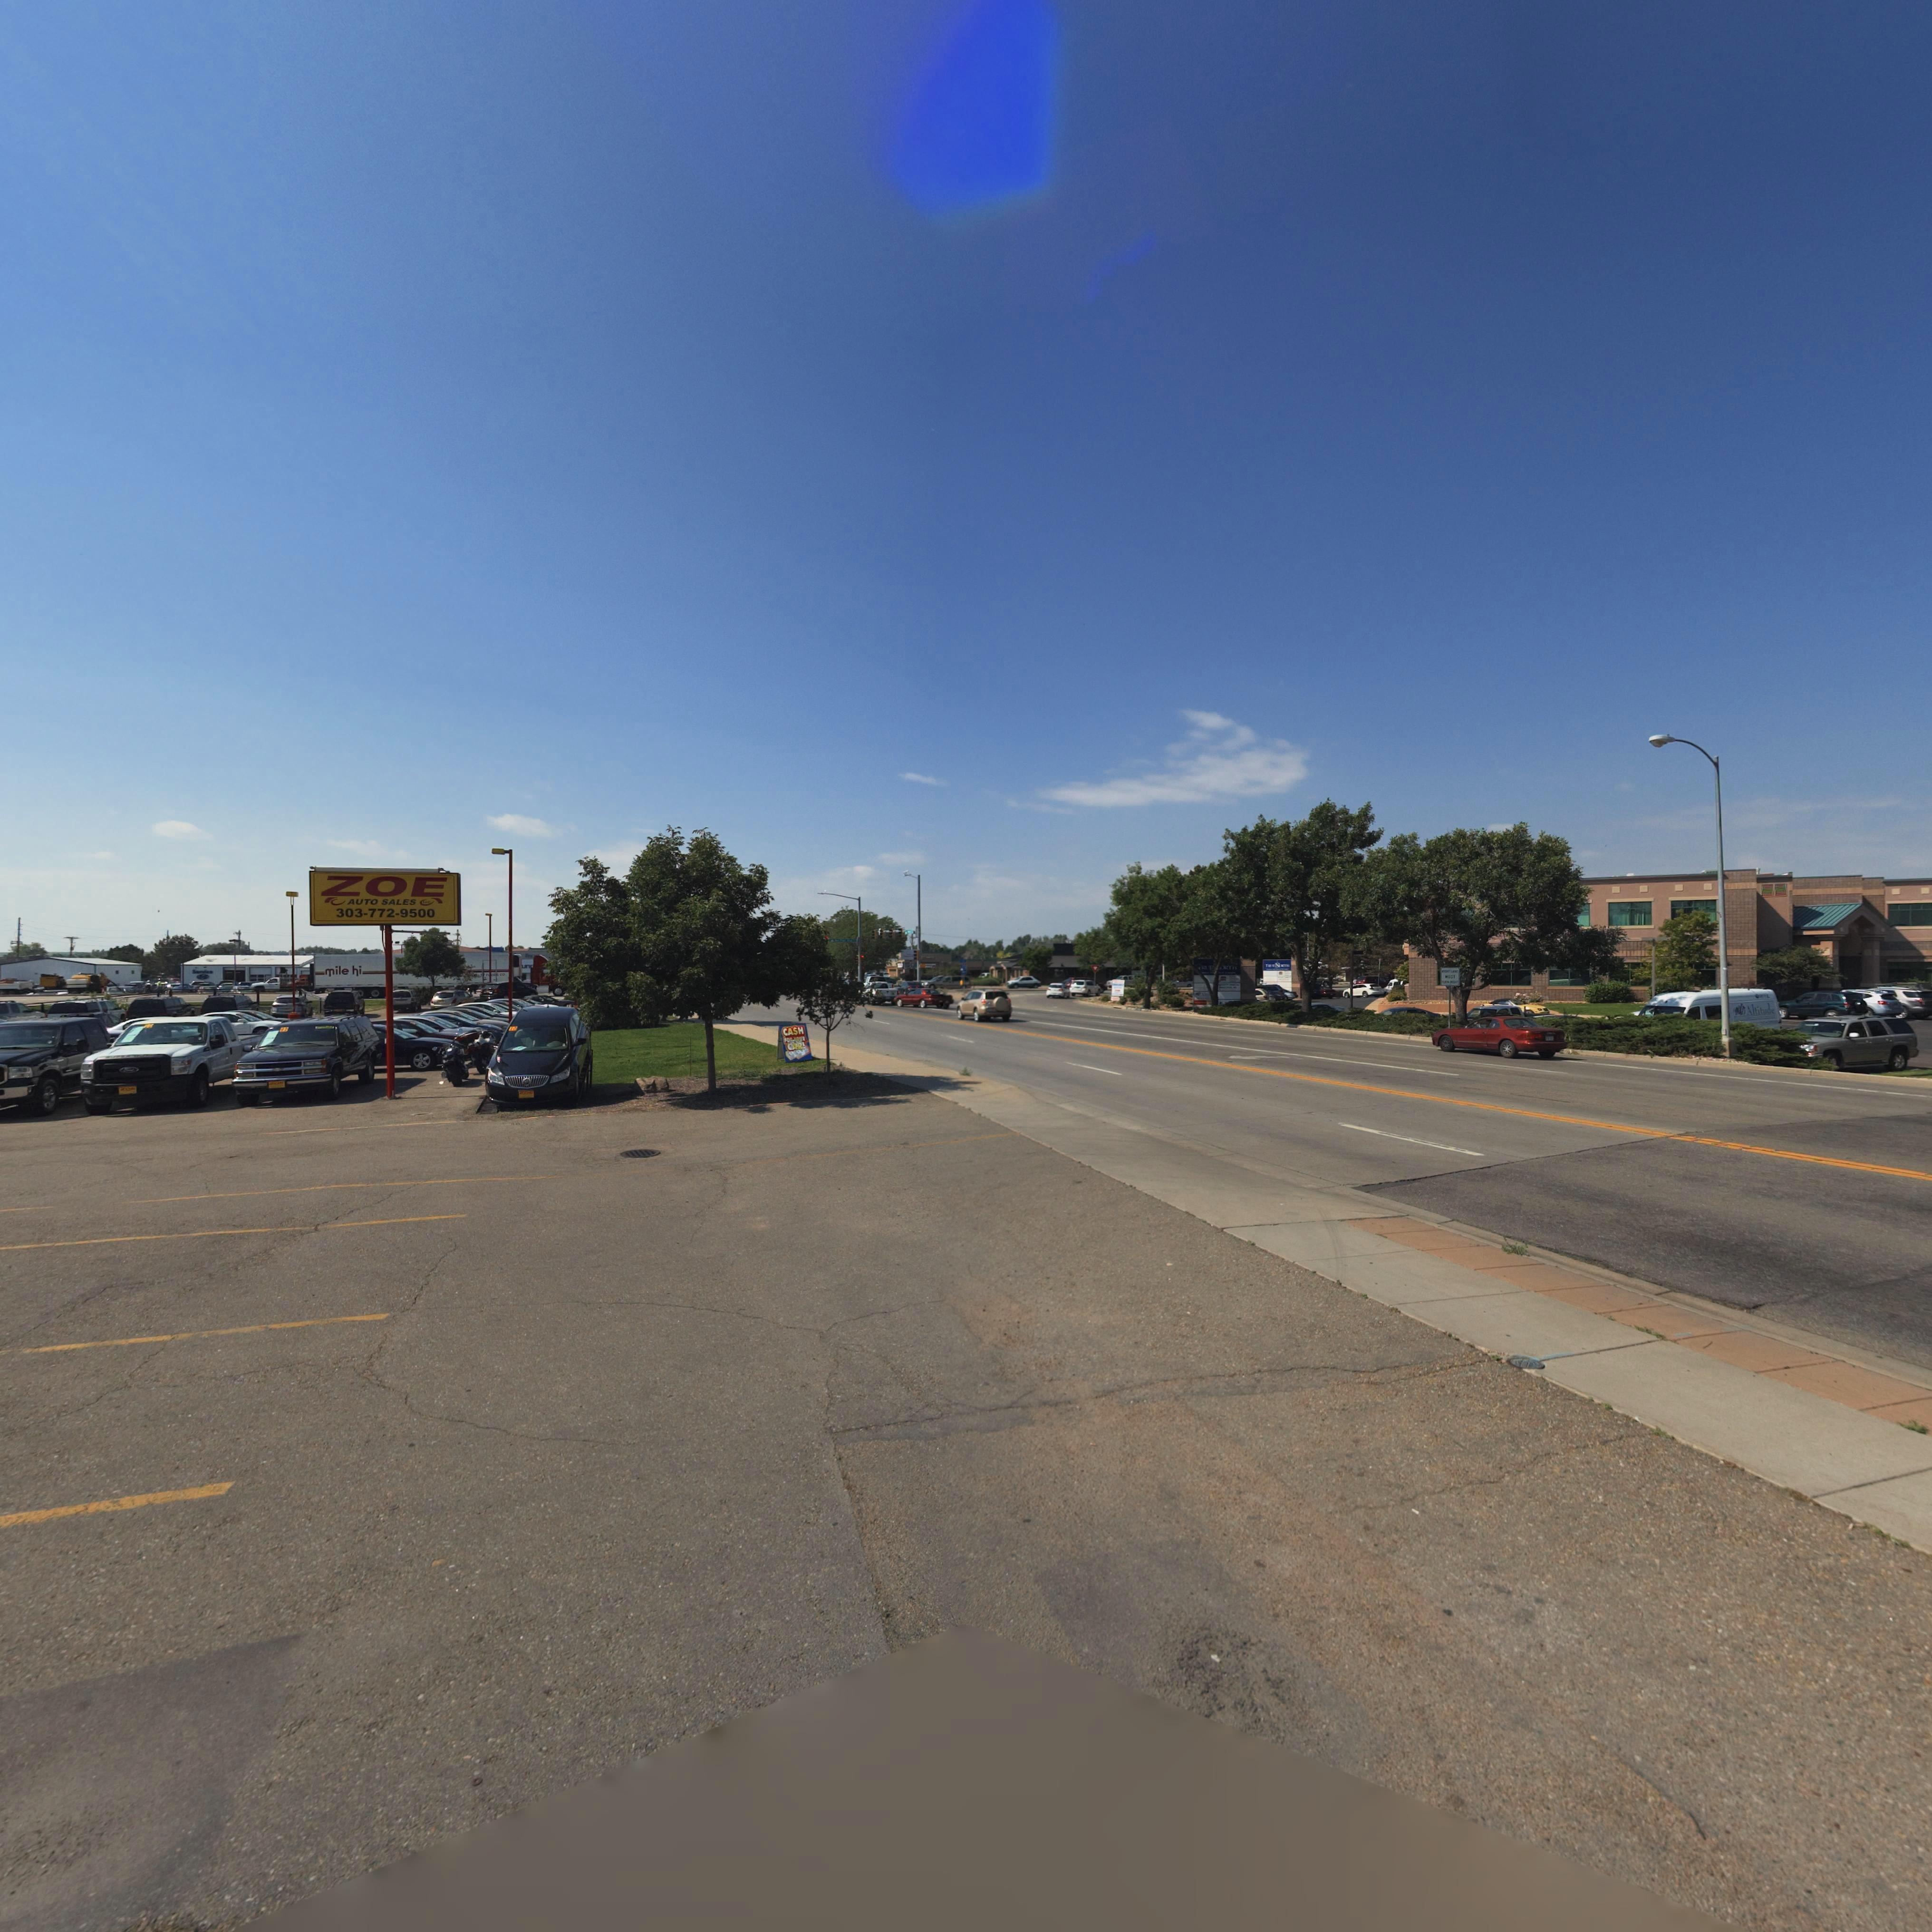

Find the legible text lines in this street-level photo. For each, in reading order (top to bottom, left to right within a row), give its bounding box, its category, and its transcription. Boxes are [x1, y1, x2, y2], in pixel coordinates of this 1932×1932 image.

[320, 875, 448, 898] BusinessName: ZOE
[347, 898, 416, 906] BusinessName: AUTO SALES